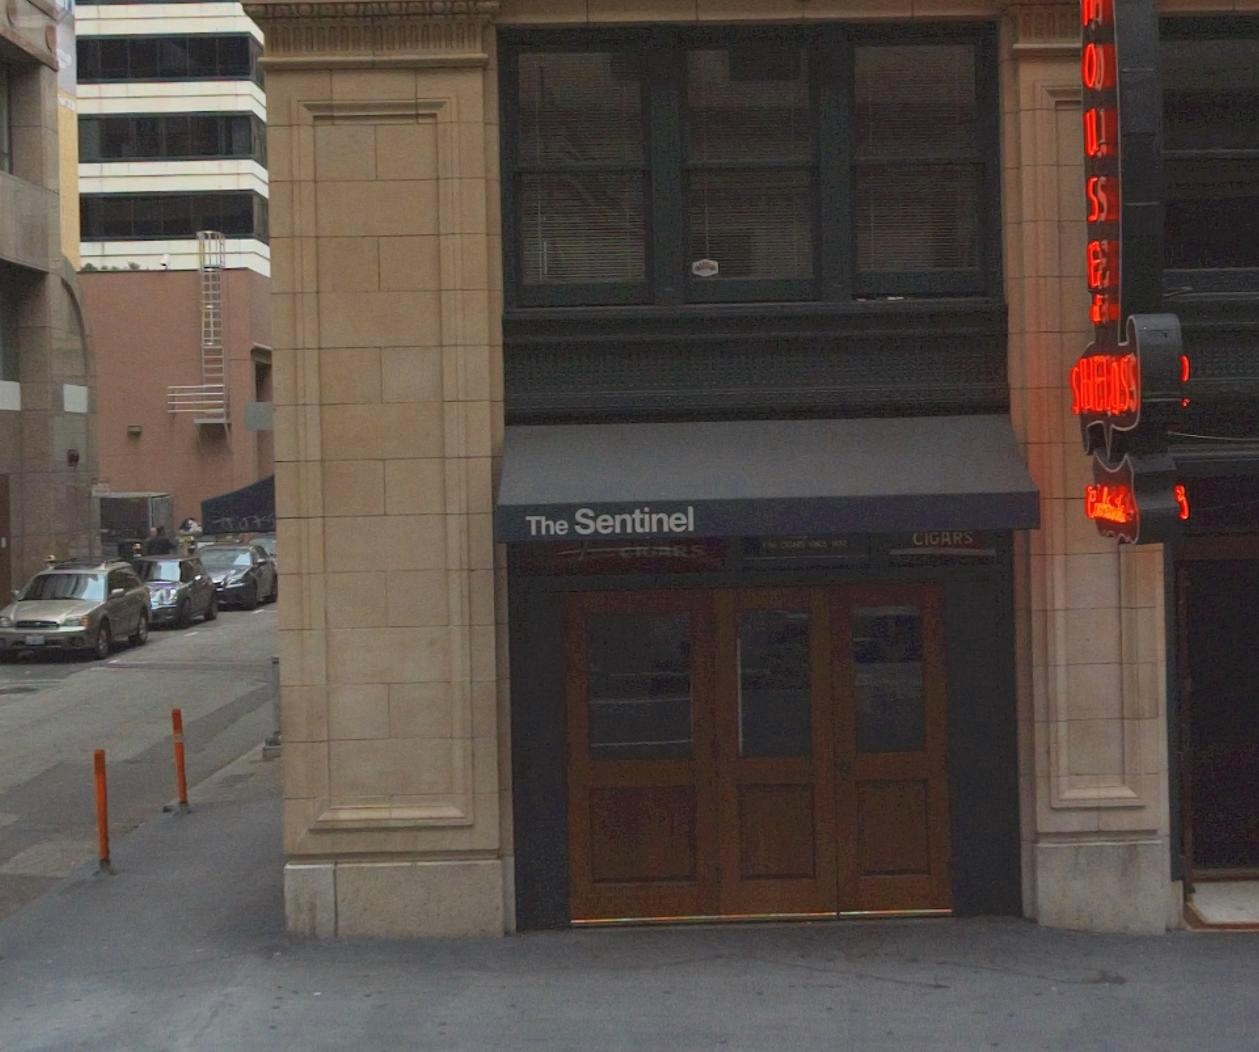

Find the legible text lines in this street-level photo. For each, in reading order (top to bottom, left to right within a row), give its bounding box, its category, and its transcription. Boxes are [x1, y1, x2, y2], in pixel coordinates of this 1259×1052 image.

[1078, 35, 1106, 296] None: OUSE
[521, 500, 697, 539] BusinessName: The Sentinel
[615, 540, 709, 561] None: CIGARS
[910, 527, 977, 549] None: CIGARS